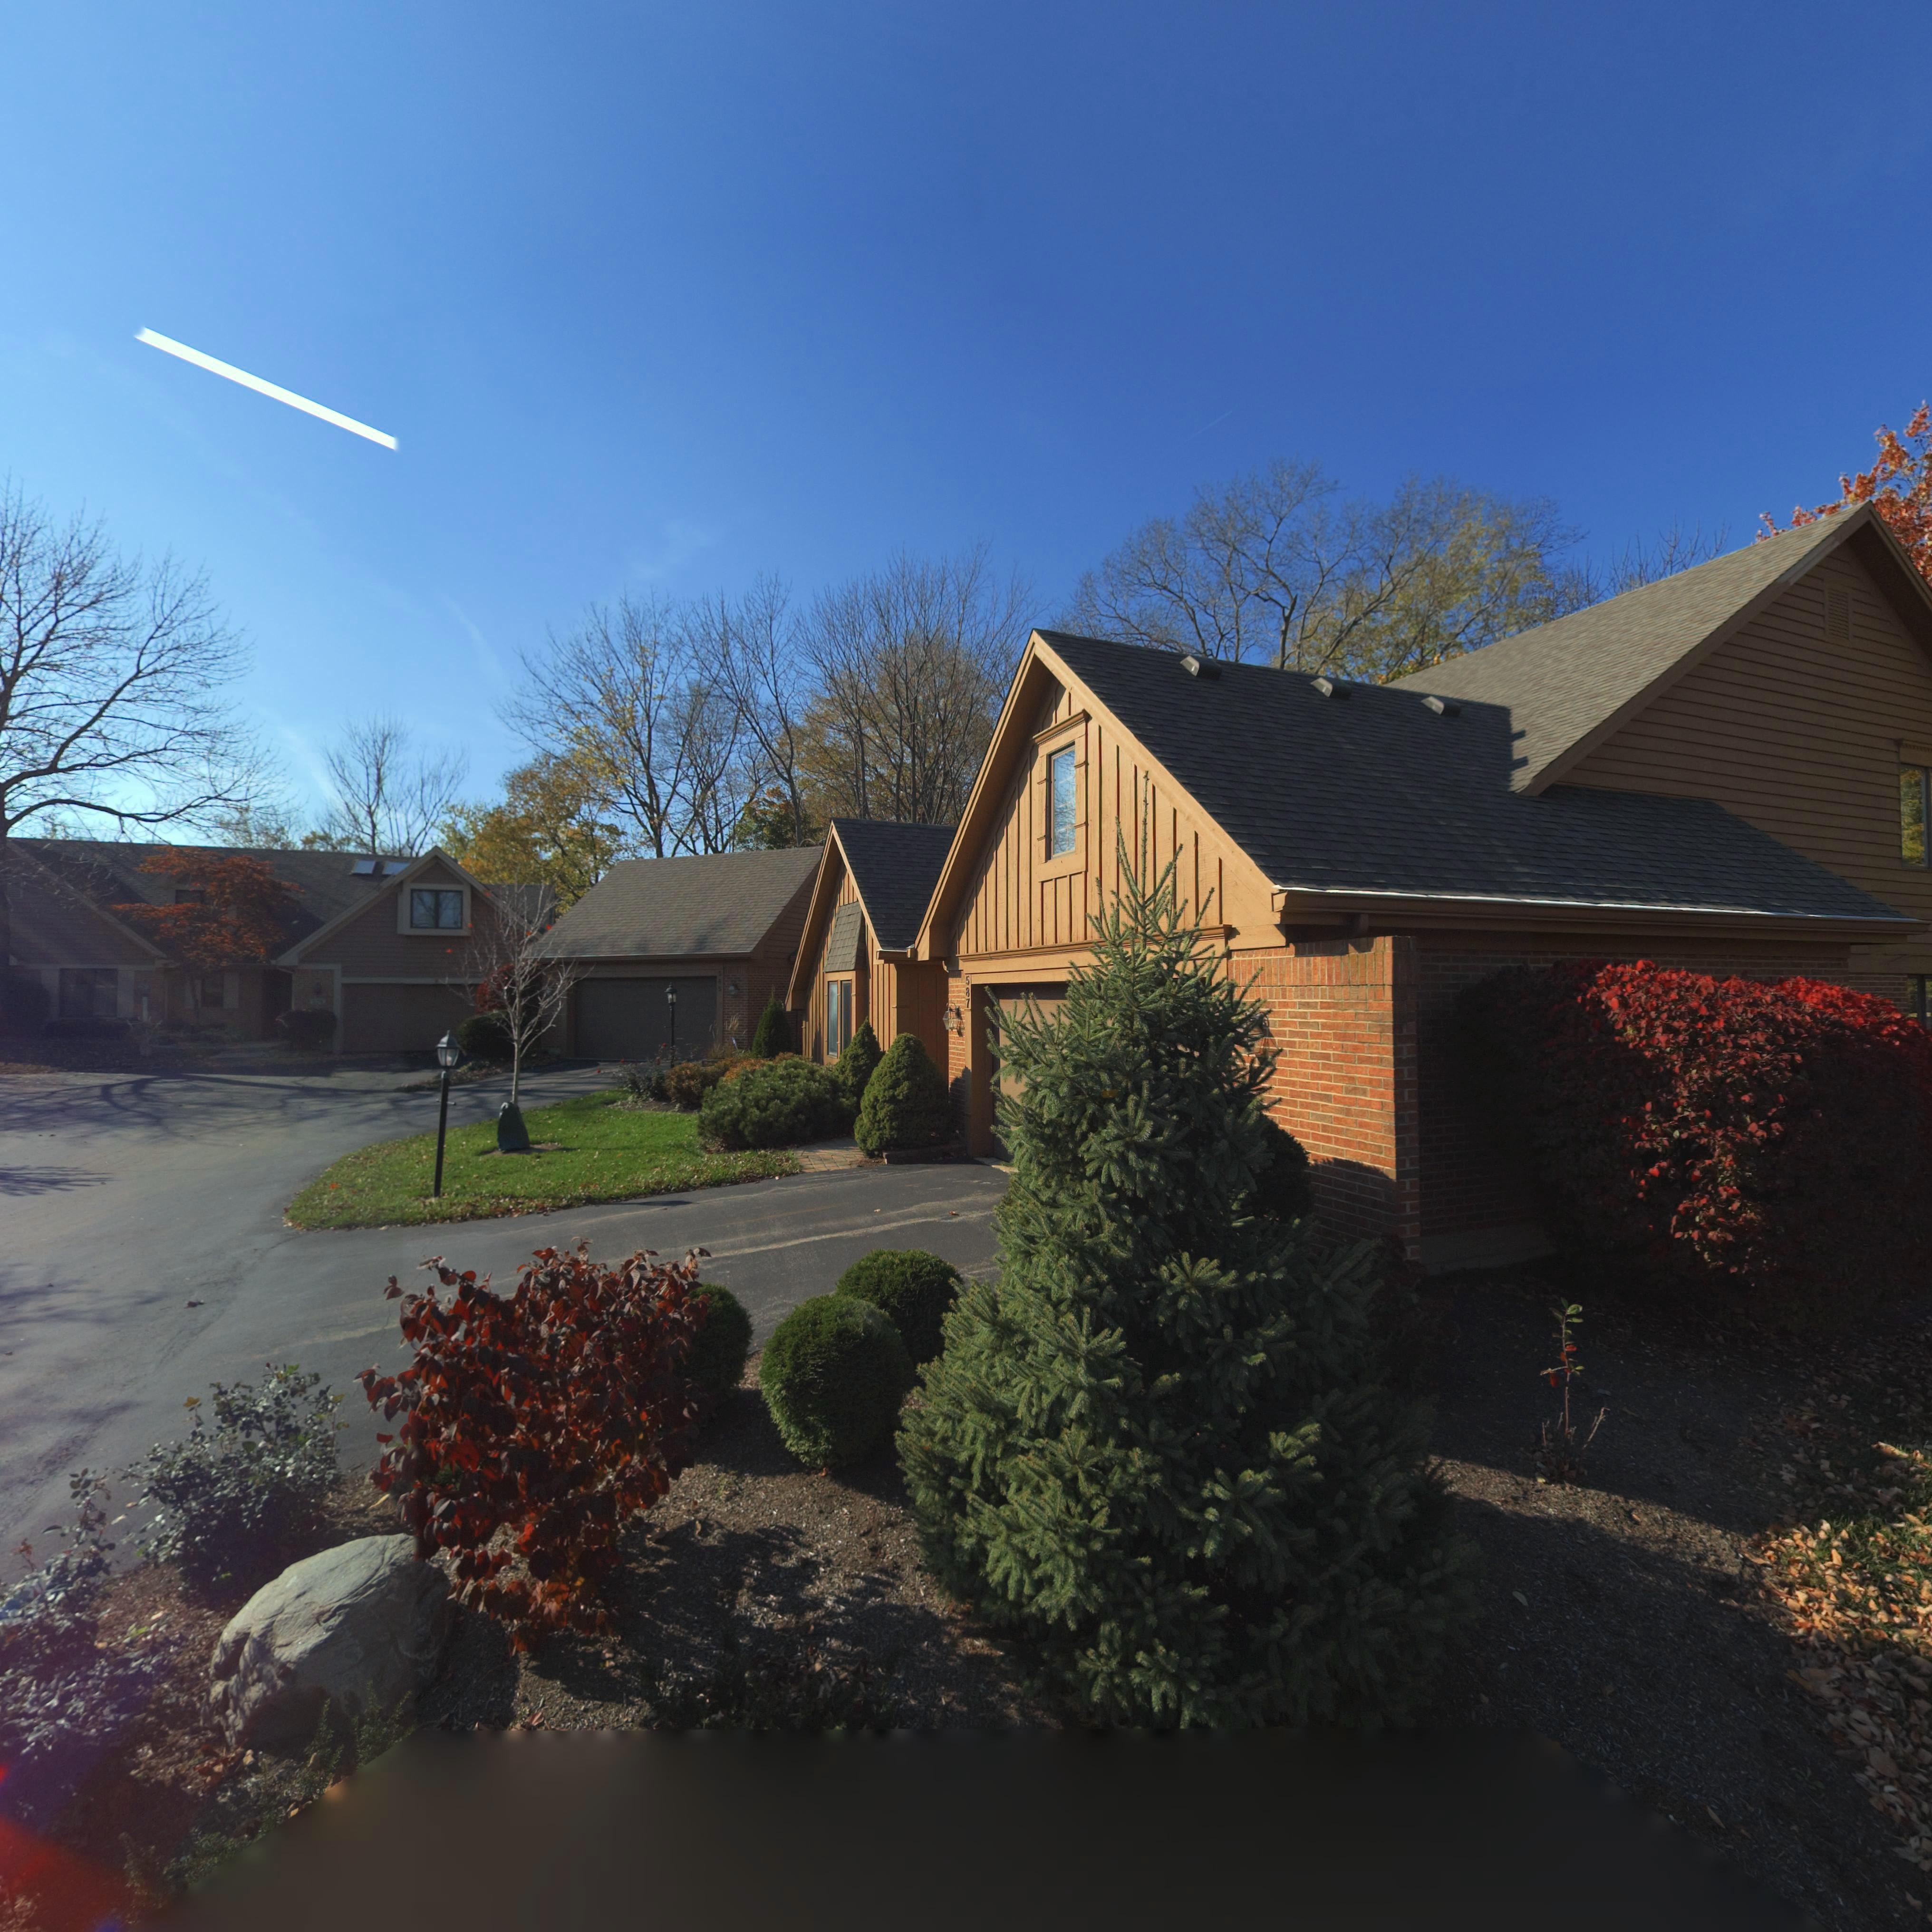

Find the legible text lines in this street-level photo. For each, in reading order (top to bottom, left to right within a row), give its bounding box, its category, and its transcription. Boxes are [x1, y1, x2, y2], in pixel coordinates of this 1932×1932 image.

[312, 998, 324, 1005] StreetNumber: 575
[717, 970, 722, 992] StreetNumber: 585
[965, 975, 971, 1008] StreetNumber: 587